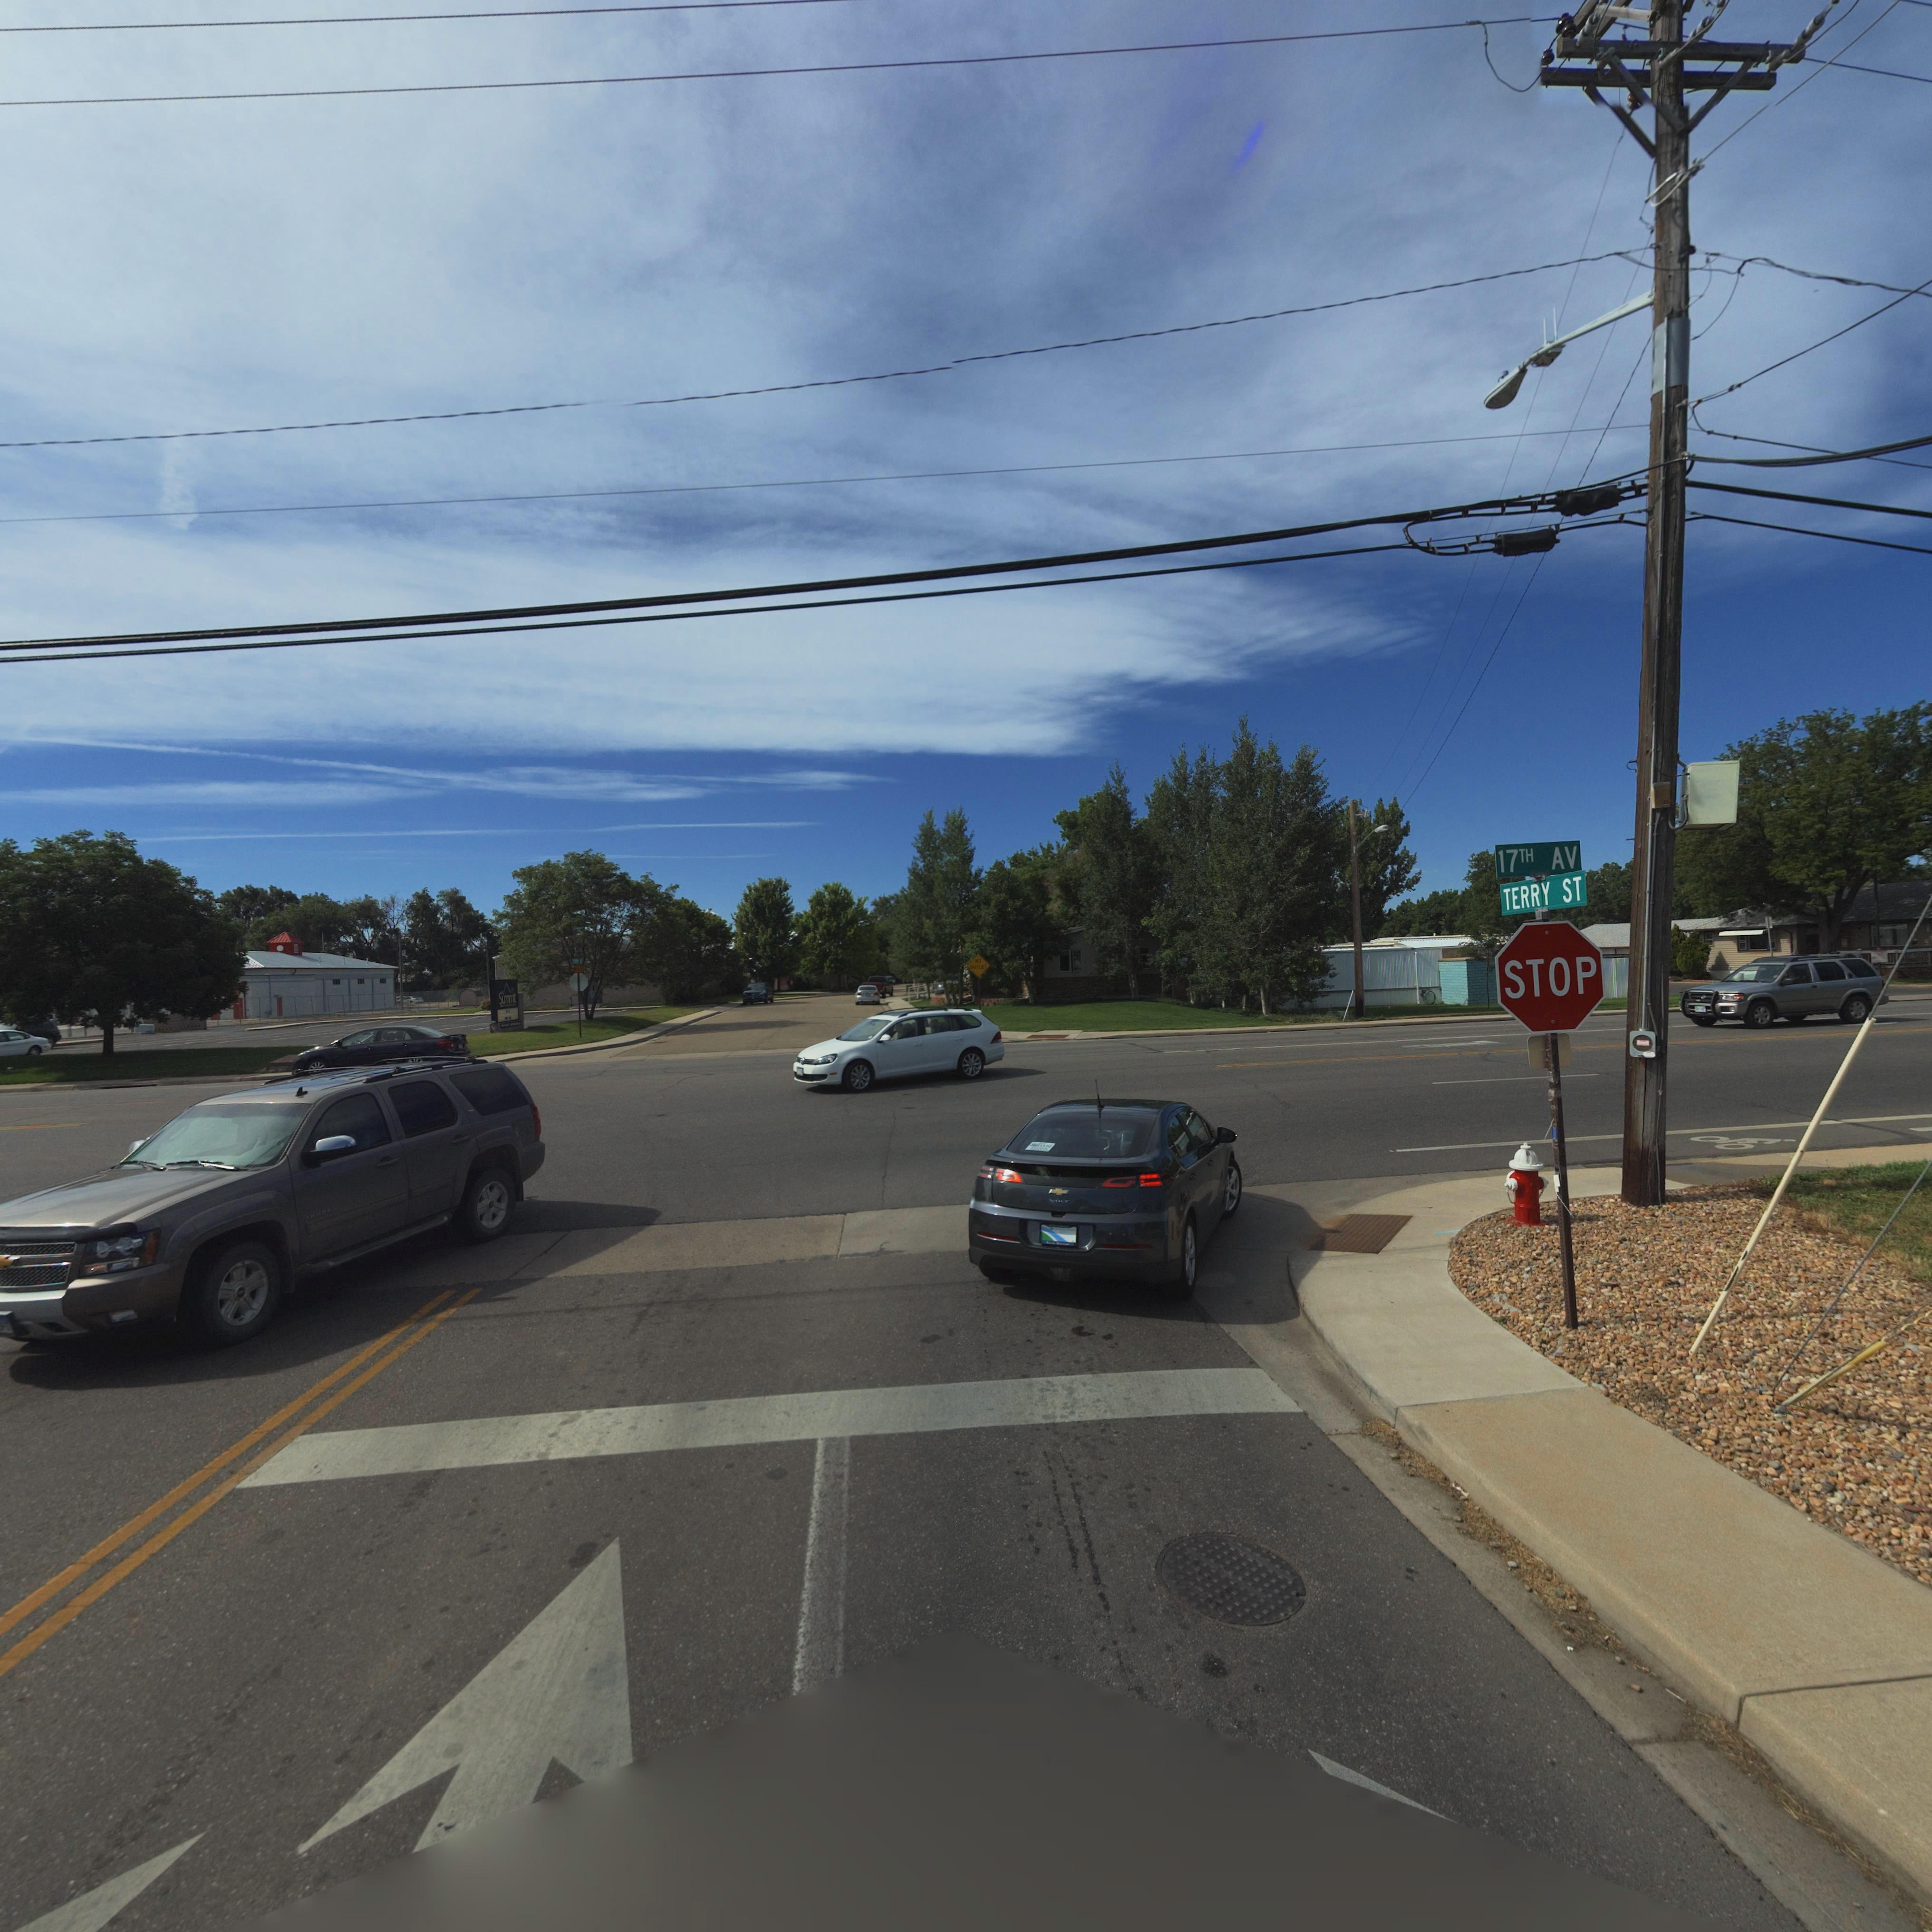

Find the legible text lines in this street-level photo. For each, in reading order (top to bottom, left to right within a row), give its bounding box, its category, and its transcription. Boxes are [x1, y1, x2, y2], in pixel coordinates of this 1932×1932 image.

[1497, 845, 1578, 873] StreetName: 17TH AV
[1502, 875, 1582, 911] StreetName: TERRY ST
[498, 992, 517, 1005] BusinessName: Summit